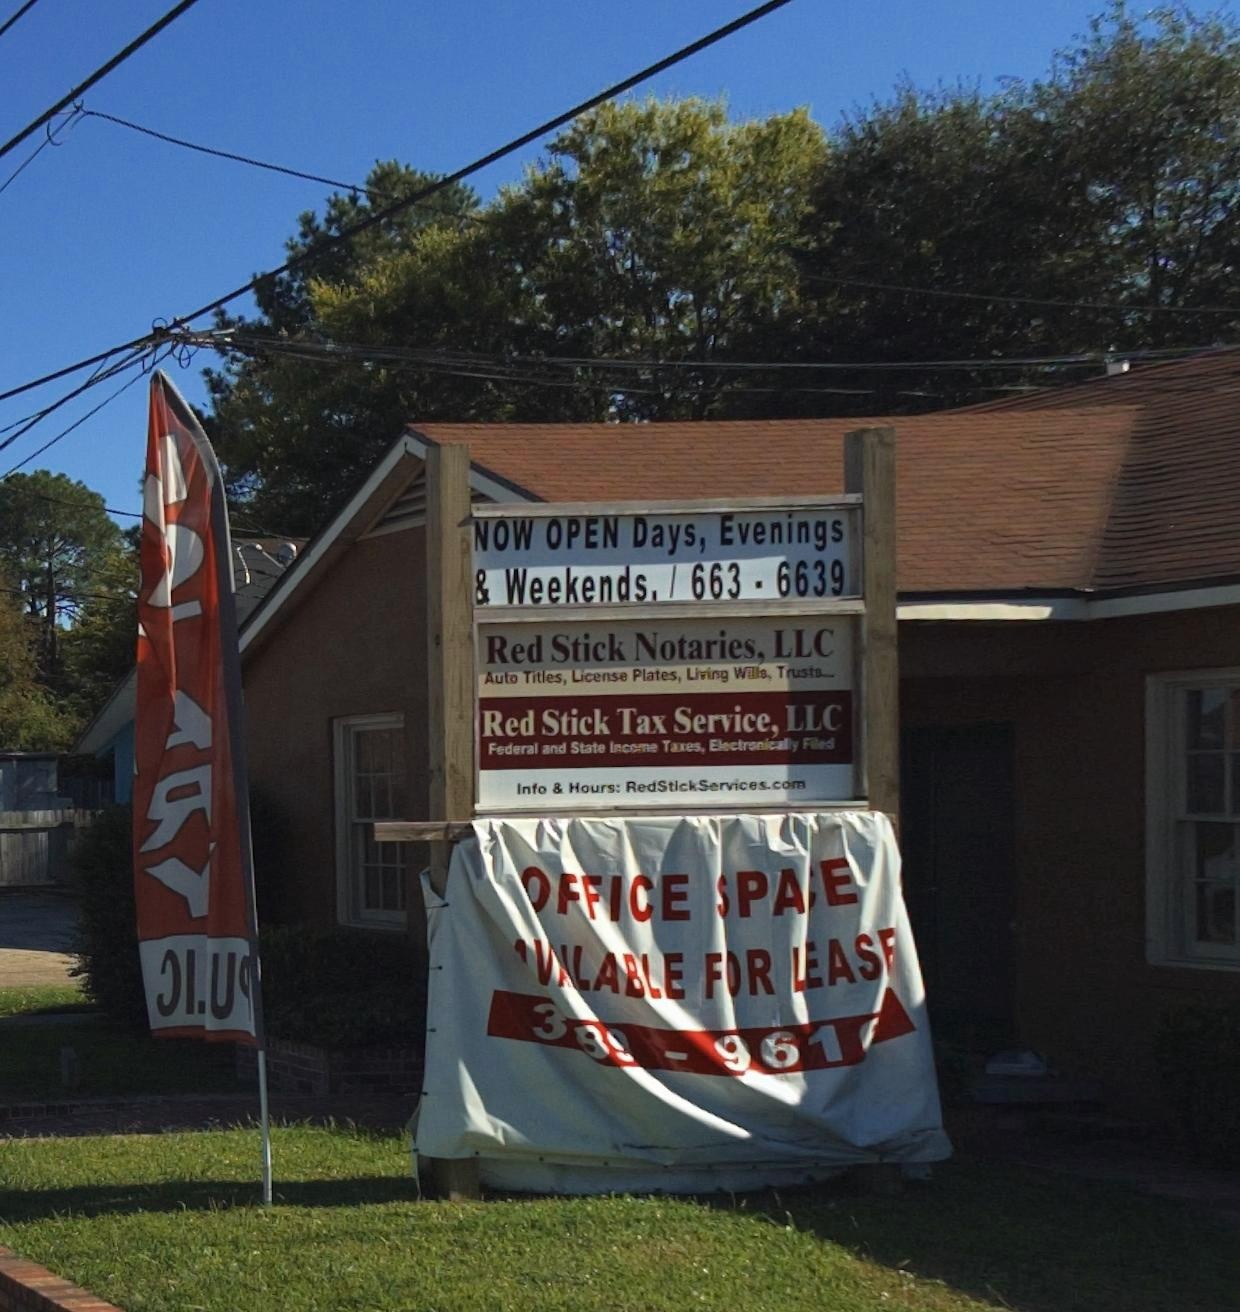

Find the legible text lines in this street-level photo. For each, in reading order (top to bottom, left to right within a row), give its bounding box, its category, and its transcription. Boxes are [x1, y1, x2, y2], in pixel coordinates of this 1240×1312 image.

[473, 512, 848, 557] None: NOW OPEN Days, Evenings
[474, 558, 846, 608] None: & Weekends. / 663 - 6639
[483, 625, 838, 666] BusinessName: Red Stick Notaries, LLC
[482, 664, 824, 686] None: Auto Titles, License Plates, Living Wills, Trusts...
[480, 702, 846, 739] BusinessName: Red Stick Tax Service, LLC
[486, 735, 837, 757] None: Federal and State Income Taxes, Electronically Filed
[516, 778, 807, 798] None: Info & Hours: RedStickServices.com
[516, 855, 861, 923] None: *FFICE *PA*E
[154, 947, 238, 1021] None: *I.U
[510, 925, 896, 1001] None: *V*LABLE F*R L*AS*
[530, 1001, 846, 1073] None: 3*3-961